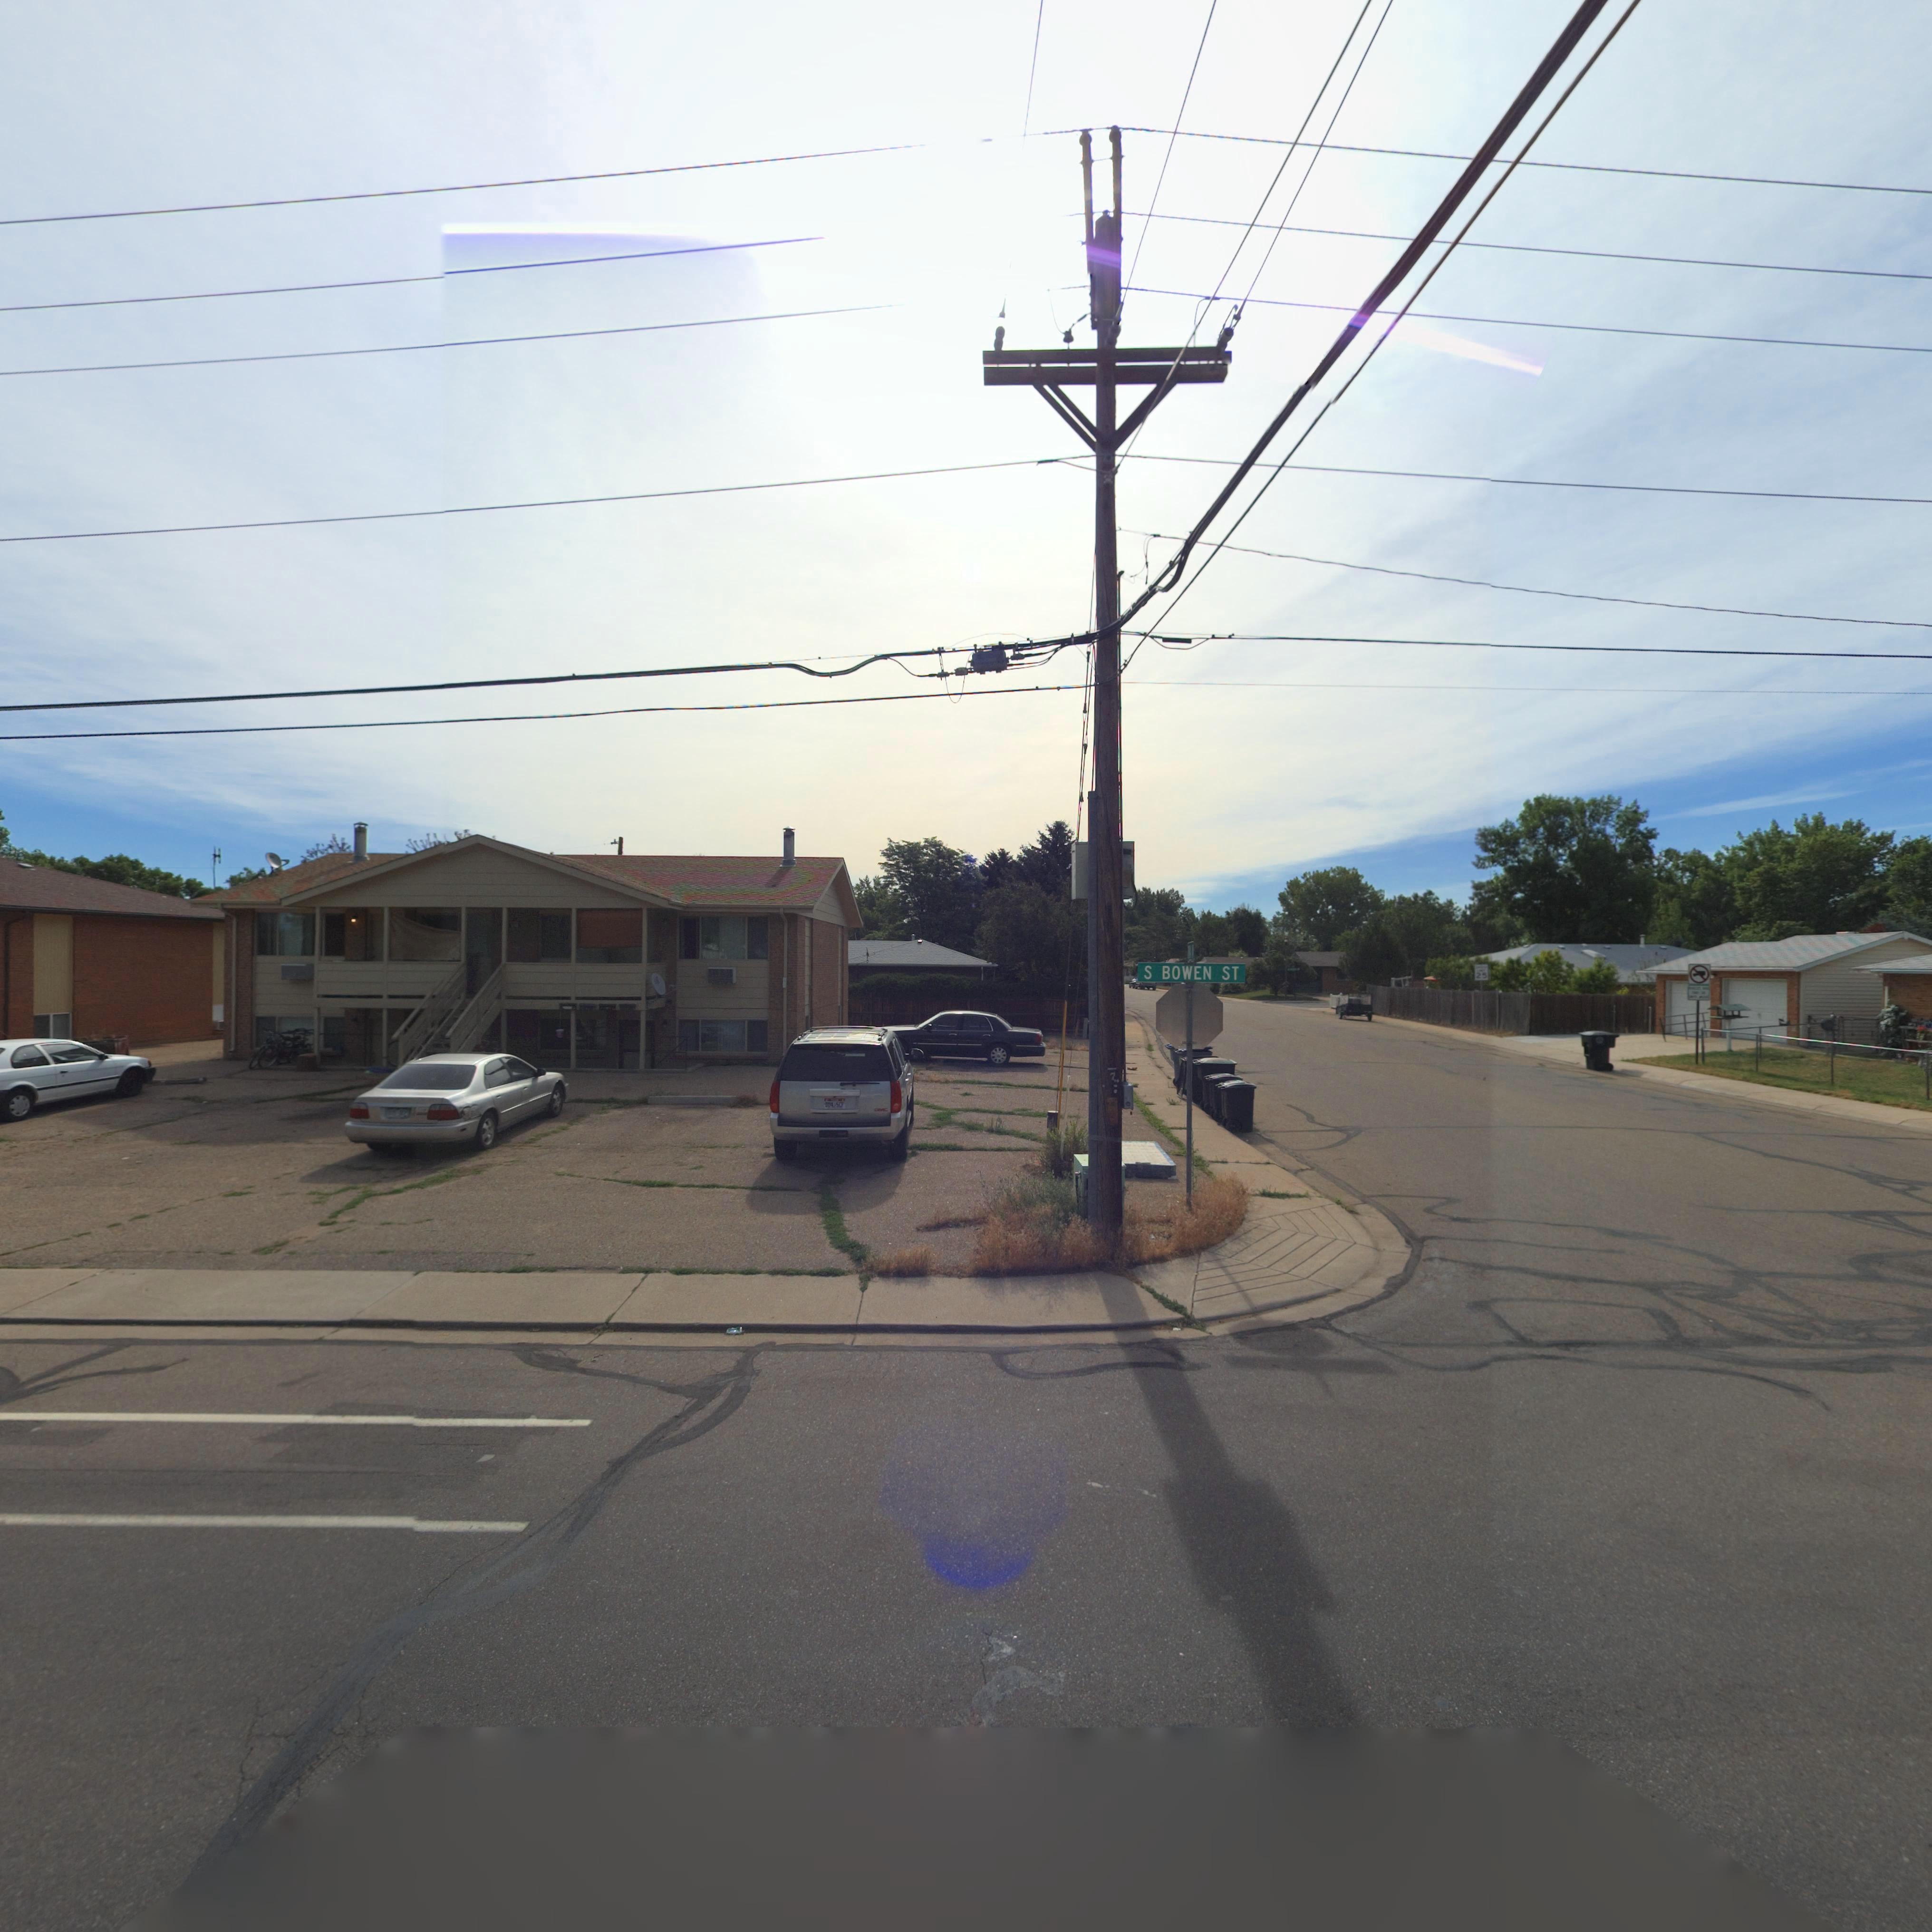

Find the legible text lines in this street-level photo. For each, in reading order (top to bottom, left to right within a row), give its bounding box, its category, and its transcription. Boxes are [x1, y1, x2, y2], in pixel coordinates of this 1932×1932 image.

[1142, 963, 1240, 982] StreetName: S BOWEN ST